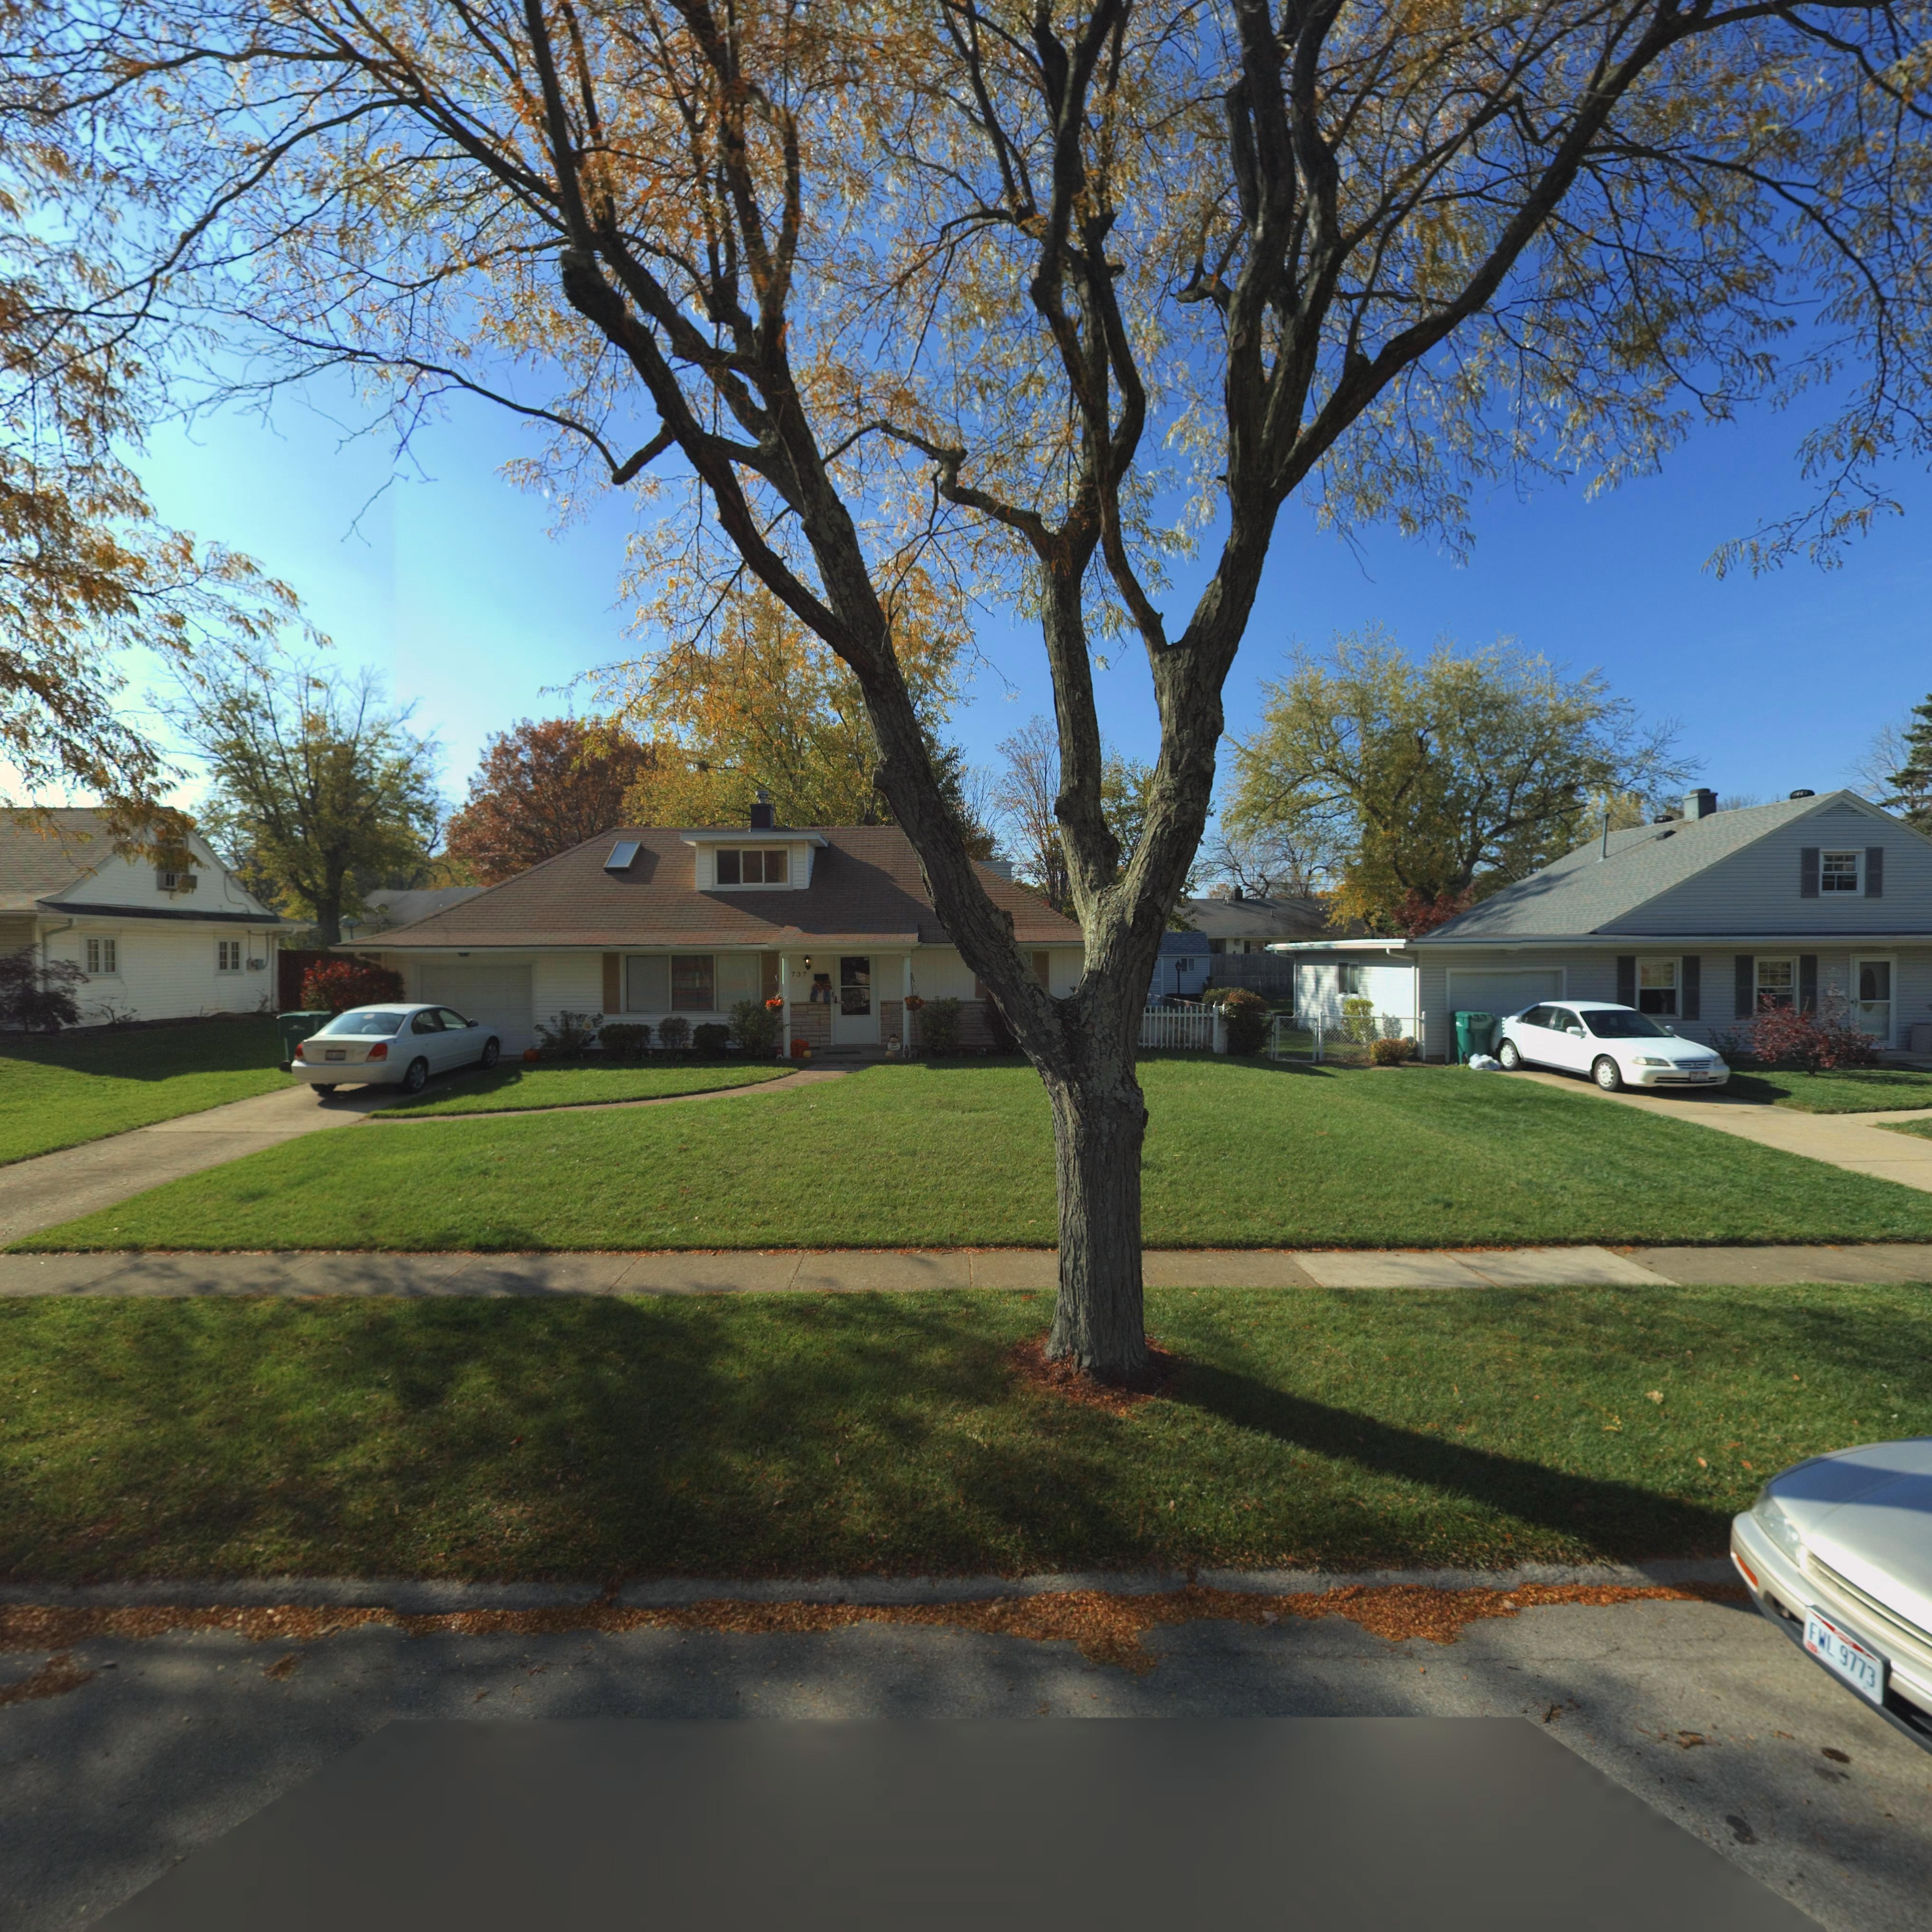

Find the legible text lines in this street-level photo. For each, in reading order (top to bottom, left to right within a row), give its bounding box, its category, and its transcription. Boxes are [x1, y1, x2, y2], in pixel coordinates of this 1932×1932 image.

[790, 971, 807, 977] StreetNumber: 737
[1808, 1620, 1876, 1690] None: FWL*9773